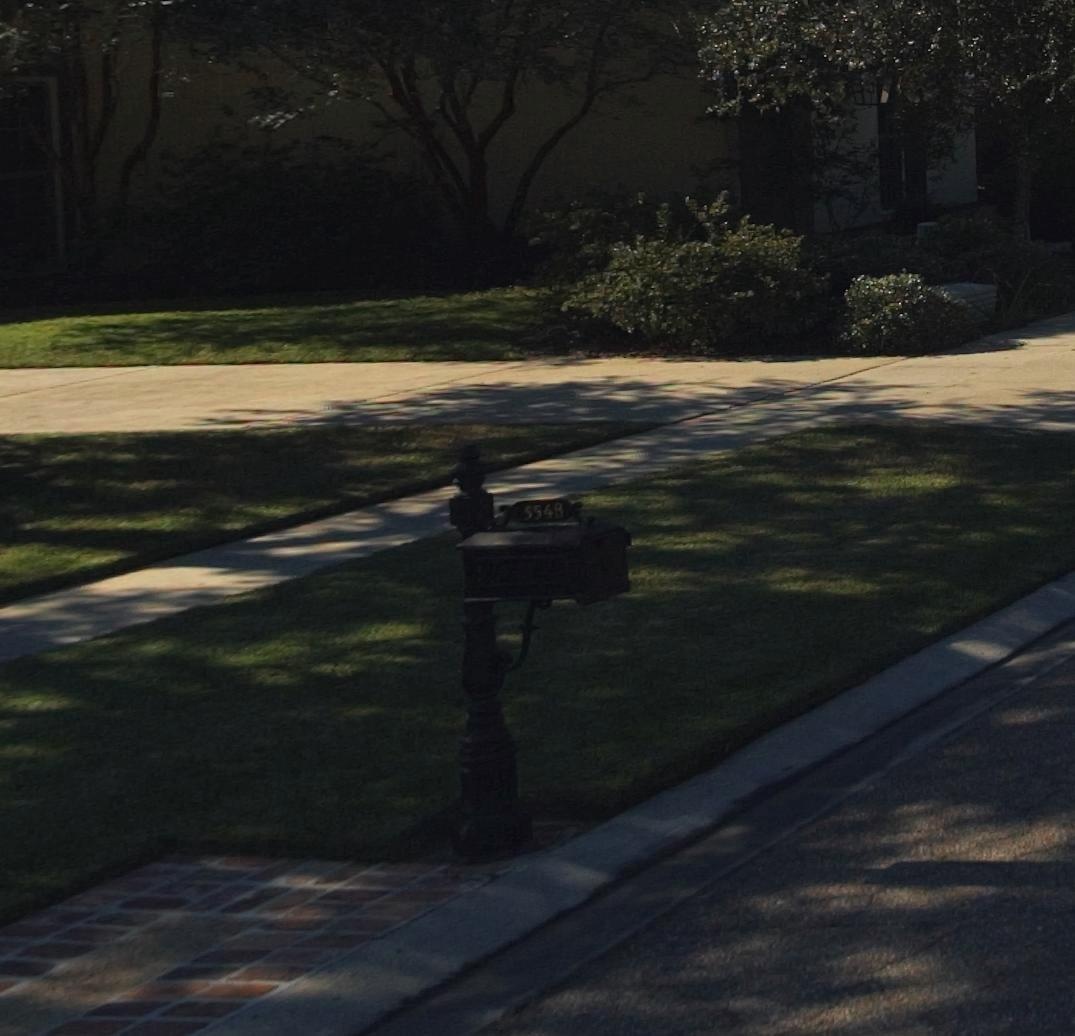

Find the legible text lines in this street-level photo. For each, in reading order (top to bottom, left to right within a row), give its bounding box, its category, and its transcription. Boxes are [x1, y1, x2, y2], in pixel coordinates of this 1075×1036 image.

[521, 499, 567, 523] StreetNumber: 554*